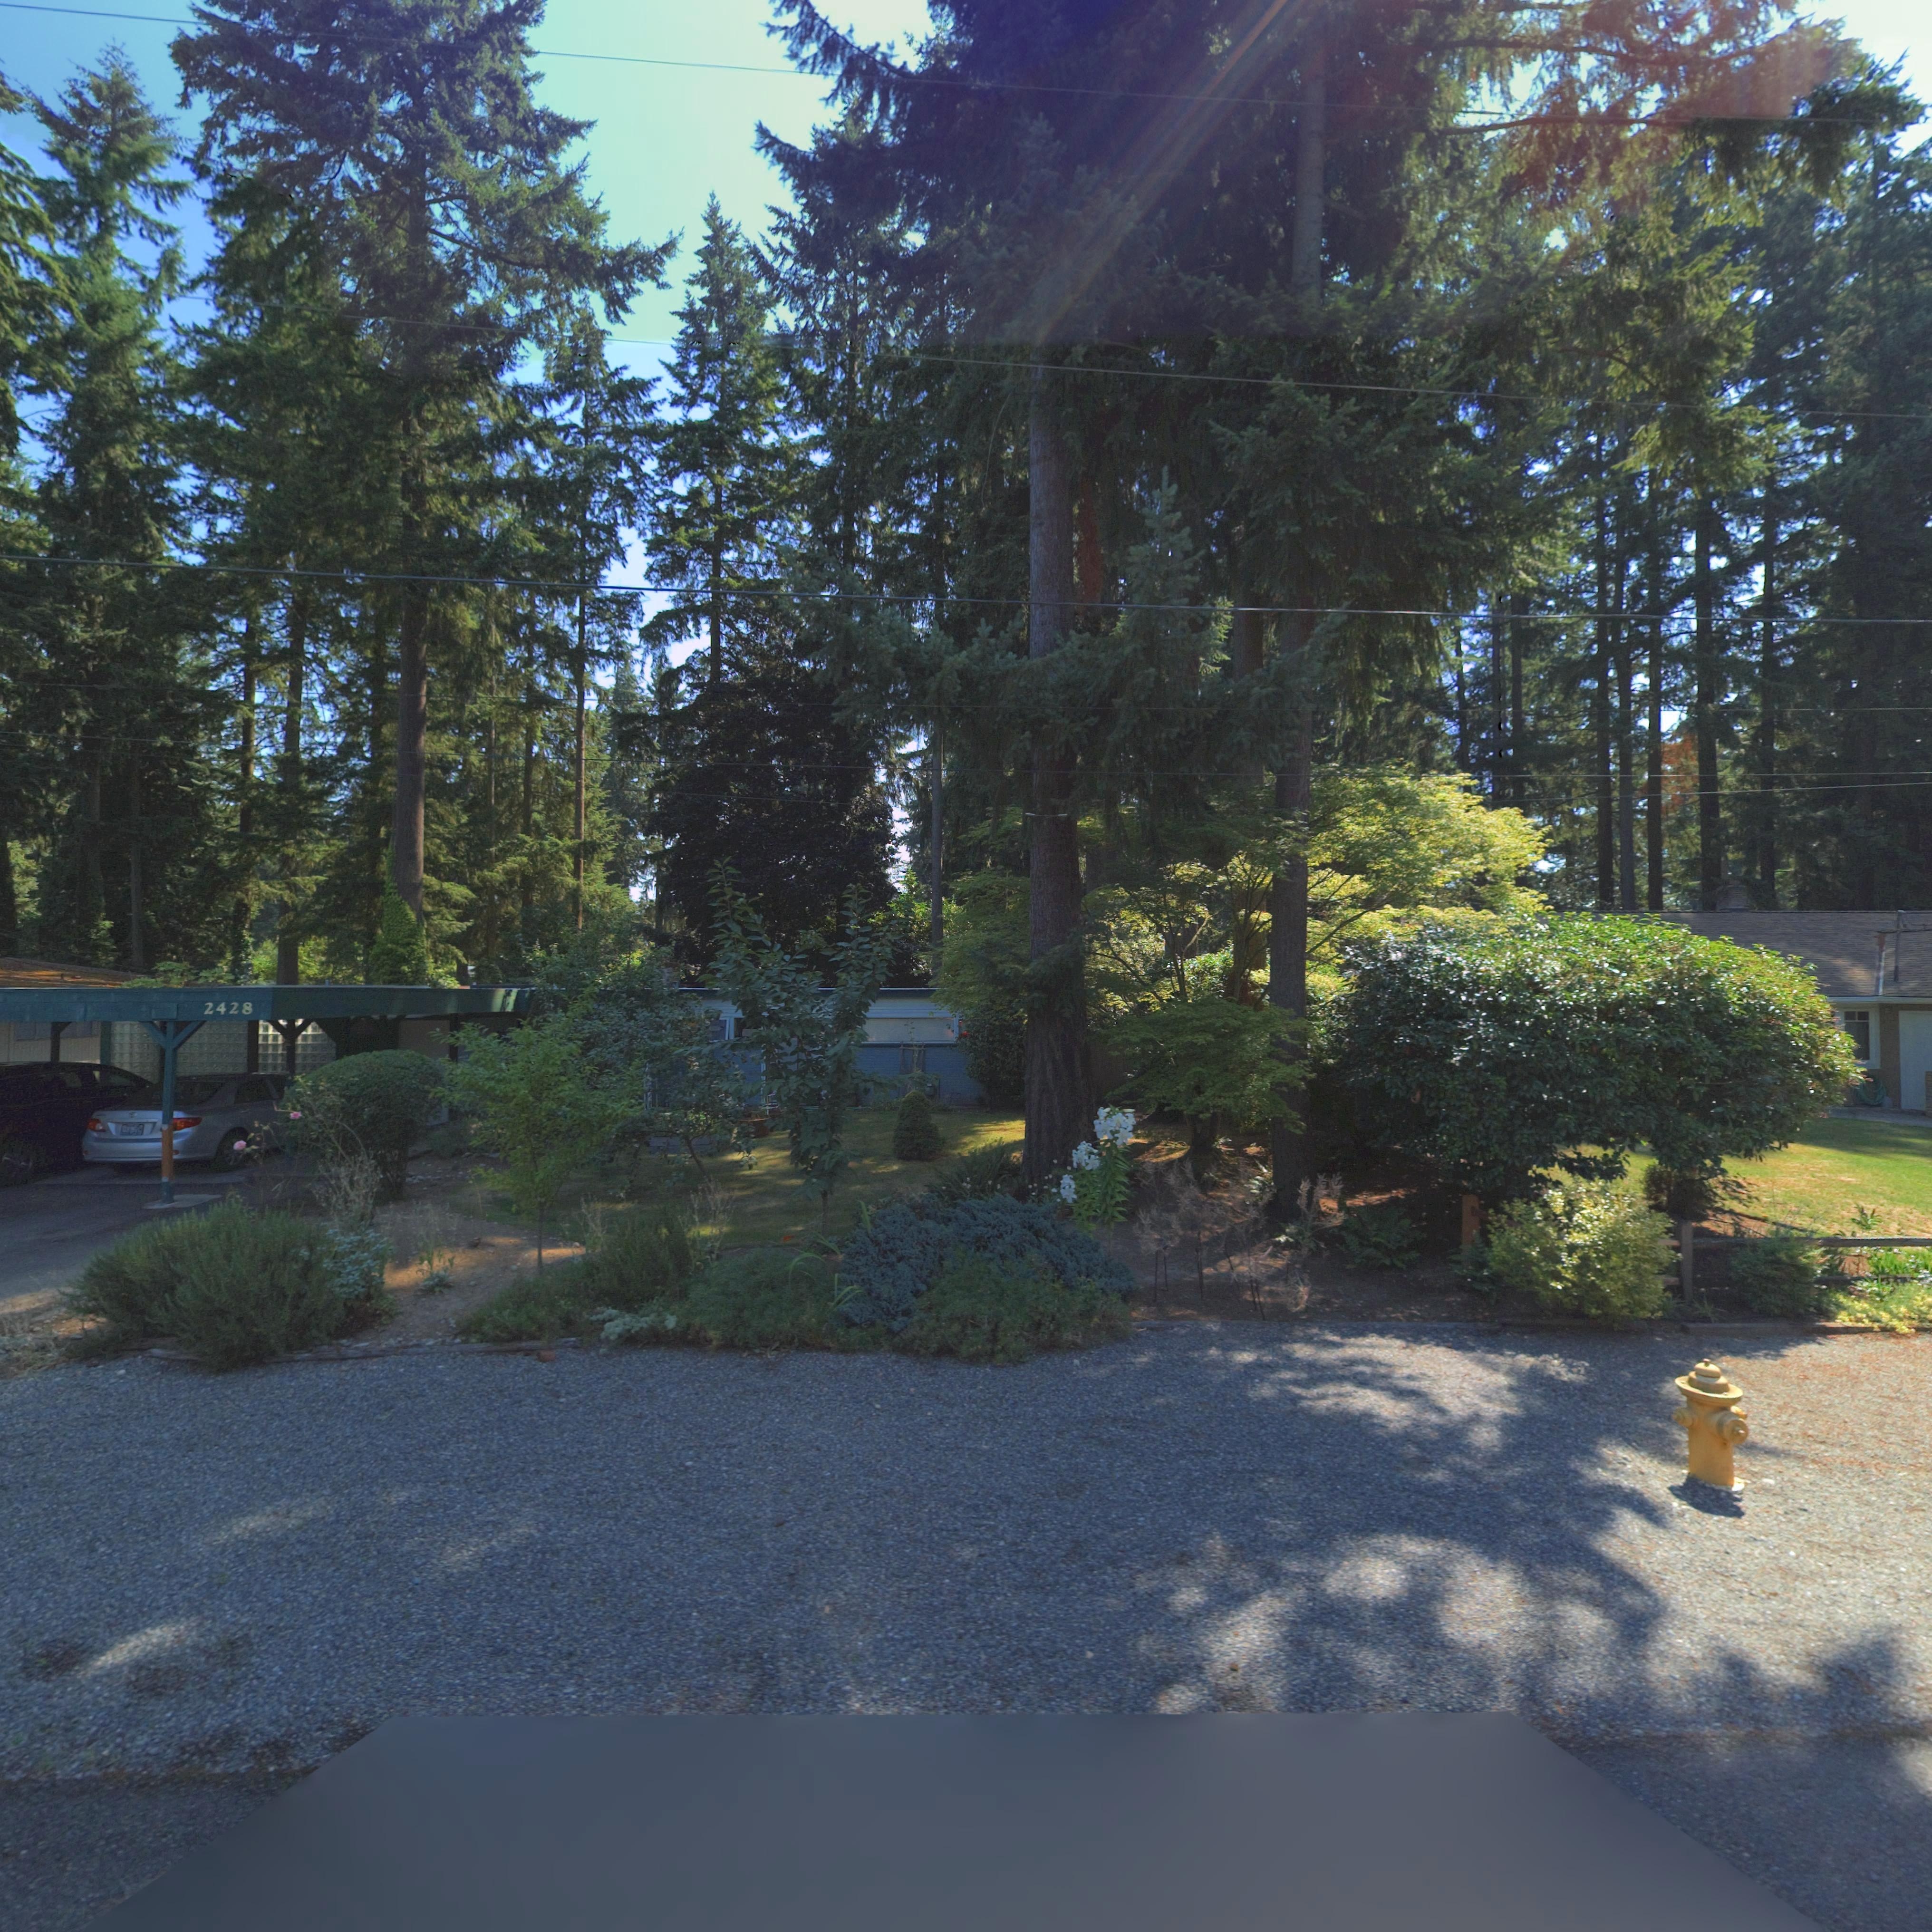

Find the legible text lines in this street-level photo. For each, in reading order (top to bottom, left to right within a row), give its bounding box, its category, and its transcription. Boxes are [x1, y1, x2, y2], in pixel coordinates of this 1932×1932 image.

[204, 1002, 252, 1014] StreetNumber: 2428